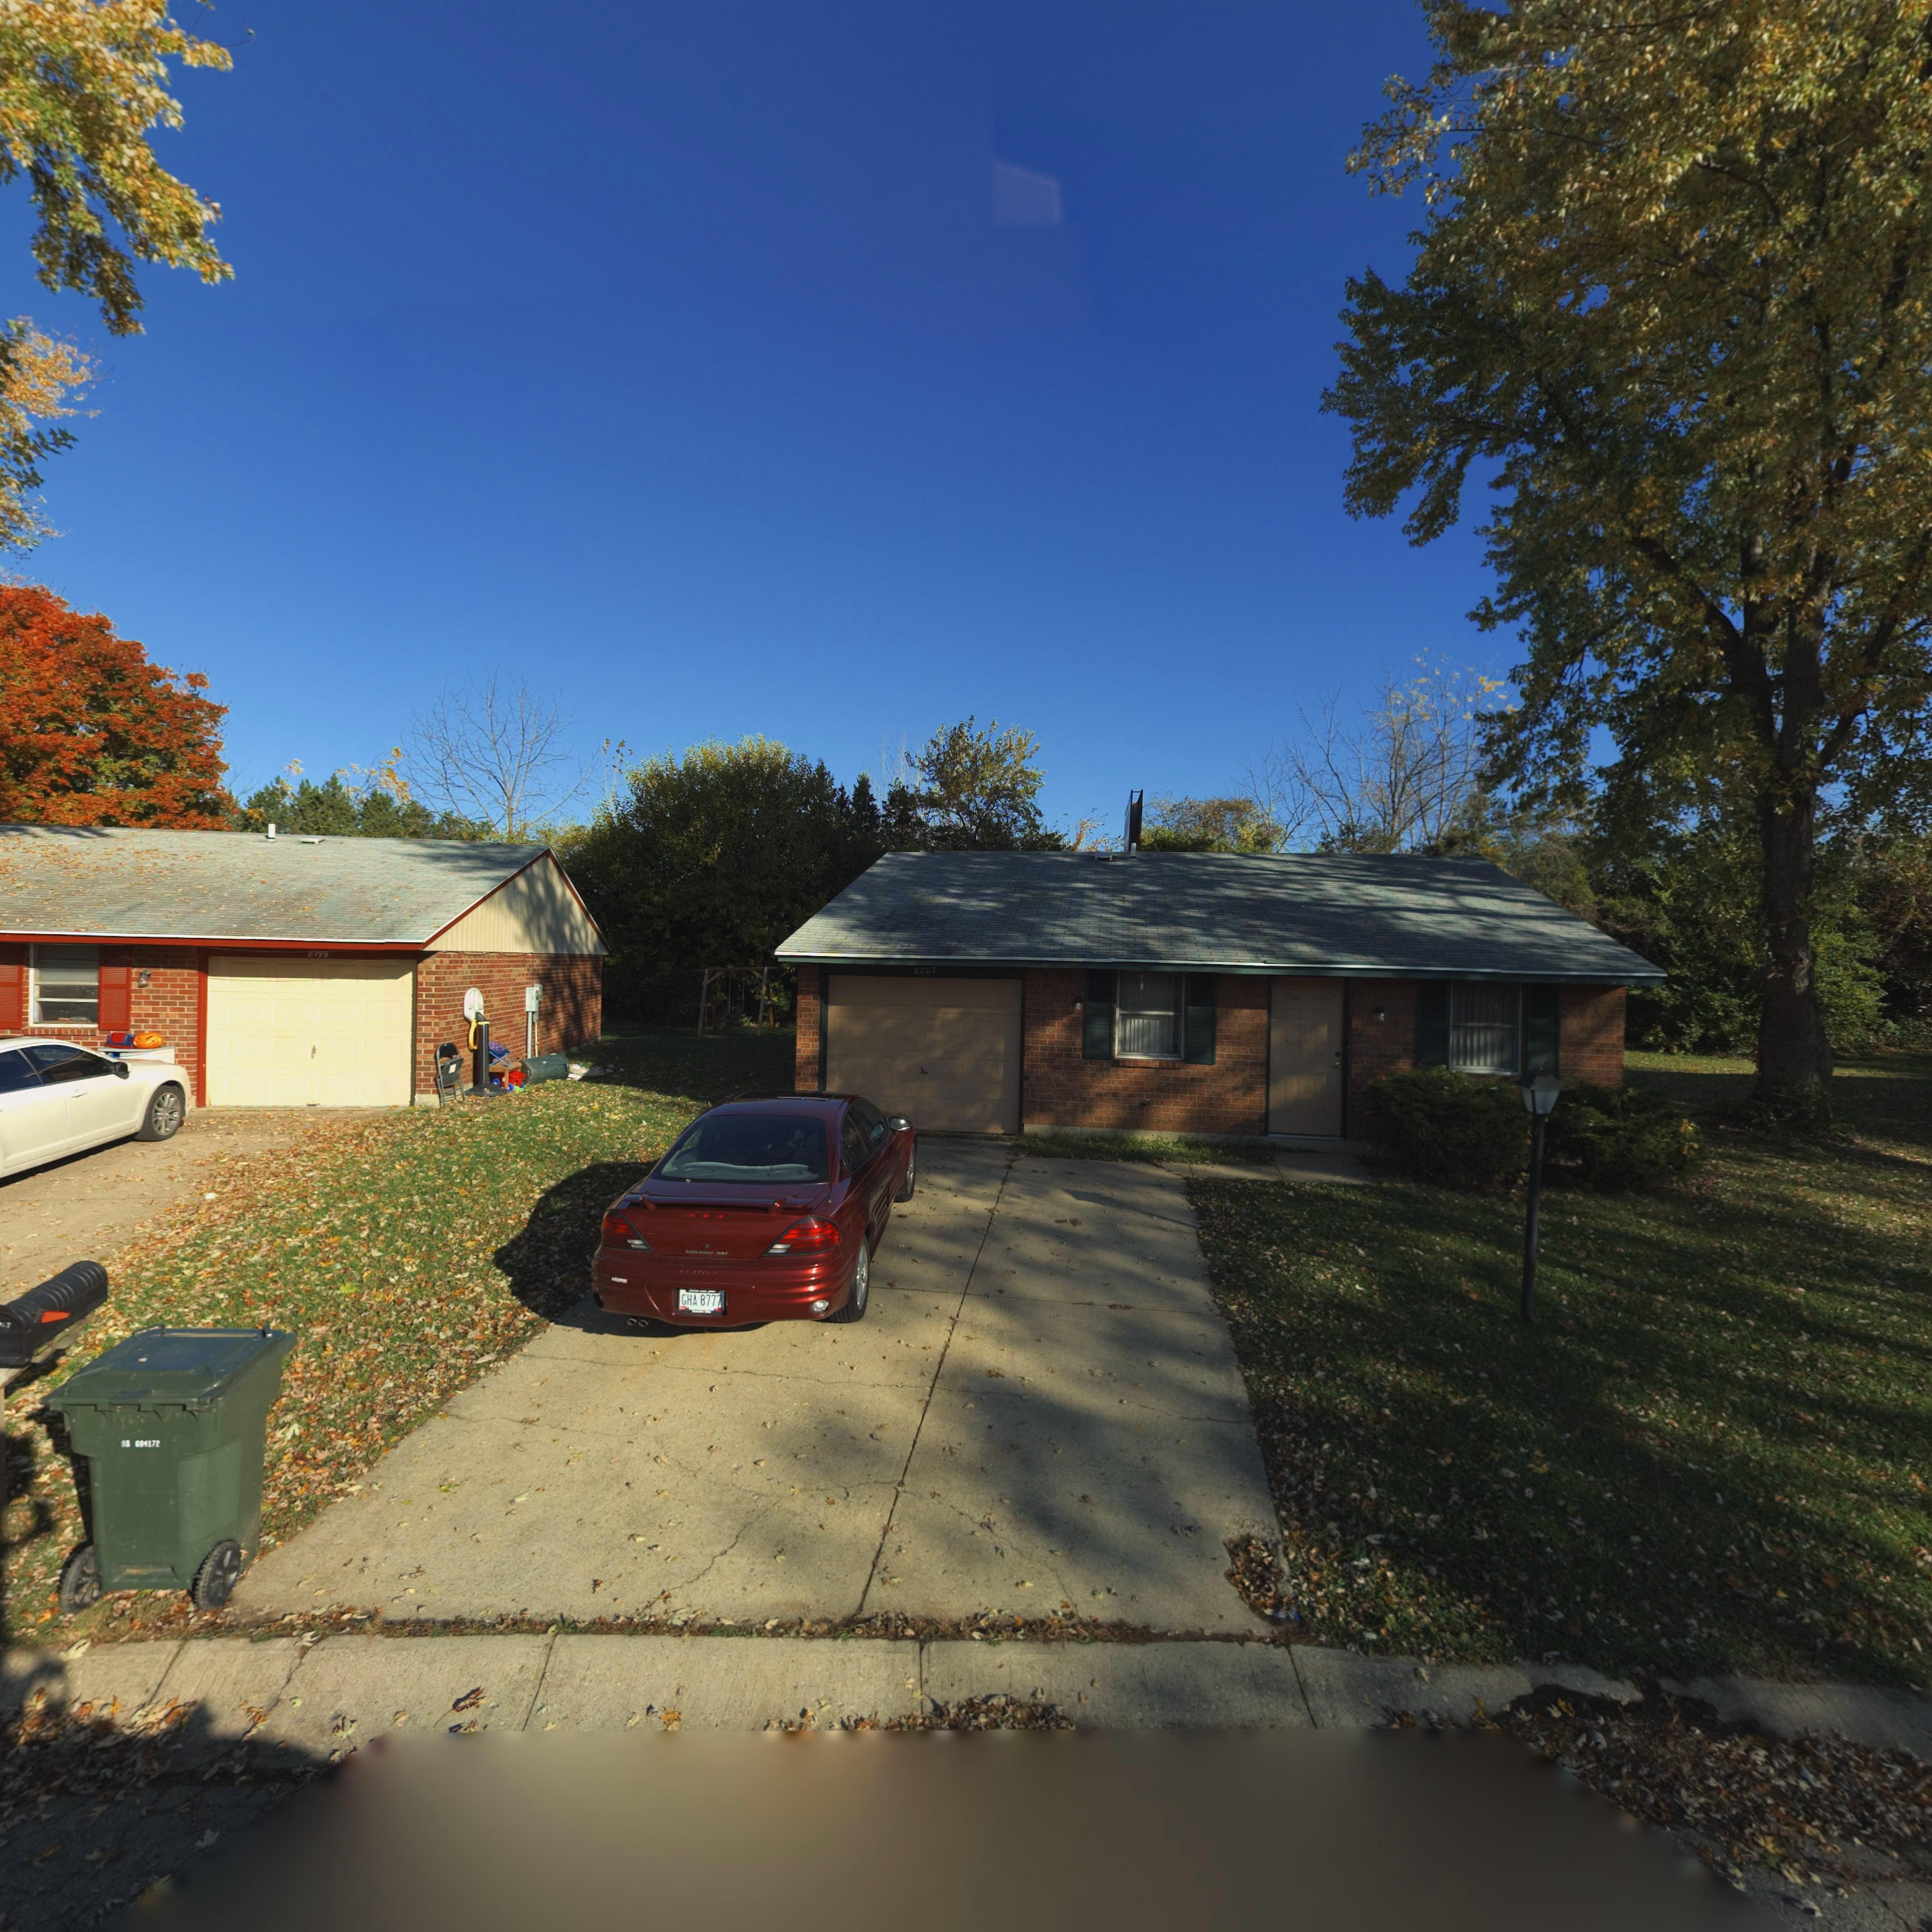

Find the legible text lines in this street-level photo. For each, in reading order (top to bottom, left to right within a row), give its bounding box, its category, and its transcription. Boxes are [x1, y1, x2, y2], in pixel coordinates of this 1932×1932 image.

[307, 950, 329, 958] StreetNumber: 8199
[913, 966, 937, 975] StreetNumber: 8207